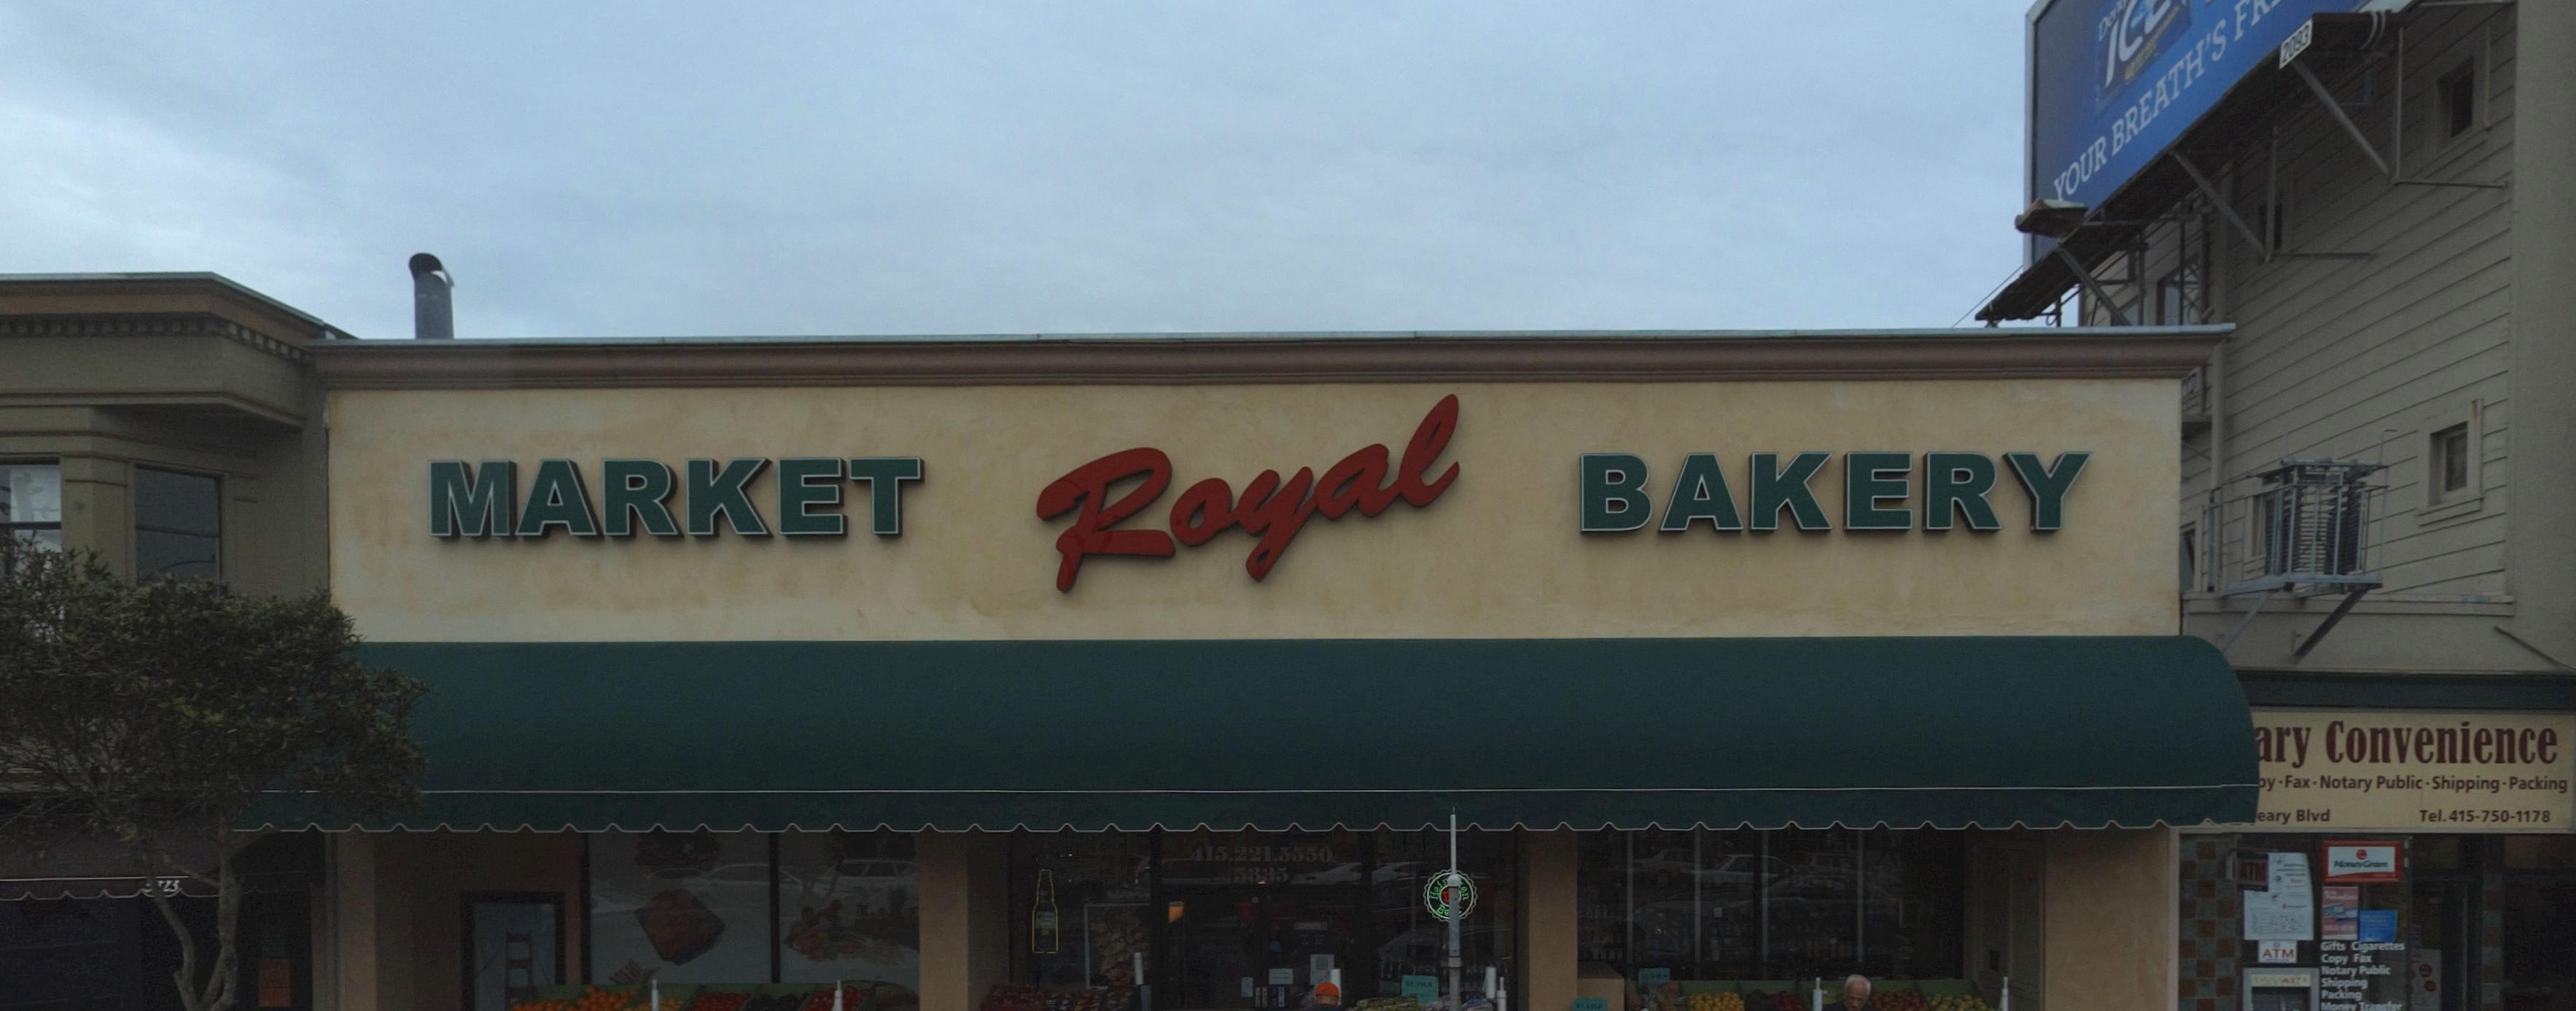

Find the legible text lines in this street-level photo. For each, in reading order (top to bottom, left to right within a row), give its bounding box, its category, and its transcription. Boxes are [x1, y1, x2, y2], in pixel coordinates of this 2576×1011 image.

[2102, 13, 2121, 92] None: I
[2280, 21, 2311, 66] StreetNumber: 2093
[2050, 15, 2230, 204] None: YOUR BREATH'S
[424, 385, 2099, 600] BusinessName: MARKET Royal BAKERY
[2272, 716, 2561, 772] BusinessName: ry Convenience
[2264, 772, 2570, 796] None: y * Fax * Notary Public * Shipping * Packing
[2254, 805, 2332, 828] None: eary Blvd
[2418, 807, 2553, 824] None: Tel.415-750-1178
[1188, 843, 1335, 864] None: 415.221.3550
[1229, 862, 1292, 888] StreetNumber: 5335
[160, 877, 184, 894] StreetNumber: 2*
[1425, 874, 1473, 903] None: Hei***en
[1433, 902, 1449, 917] None: B
[2260, 947, 2296, 961] None: ATM
[2319, 951, 2374, 967] None: Copy Fax
[2319, 938, 2408, 955] None: Gifts Cigarettes
[2319, 962, 2393, 979] None: Notary Public
[1408, 978, 1433, 991] None: 2.99LB
[2319, 975, 2370, 991] None: Shipping
[2320, 988, 2365, 1004] None: Packing
[1579, 1001, 1604, 1010] None: 1.49**